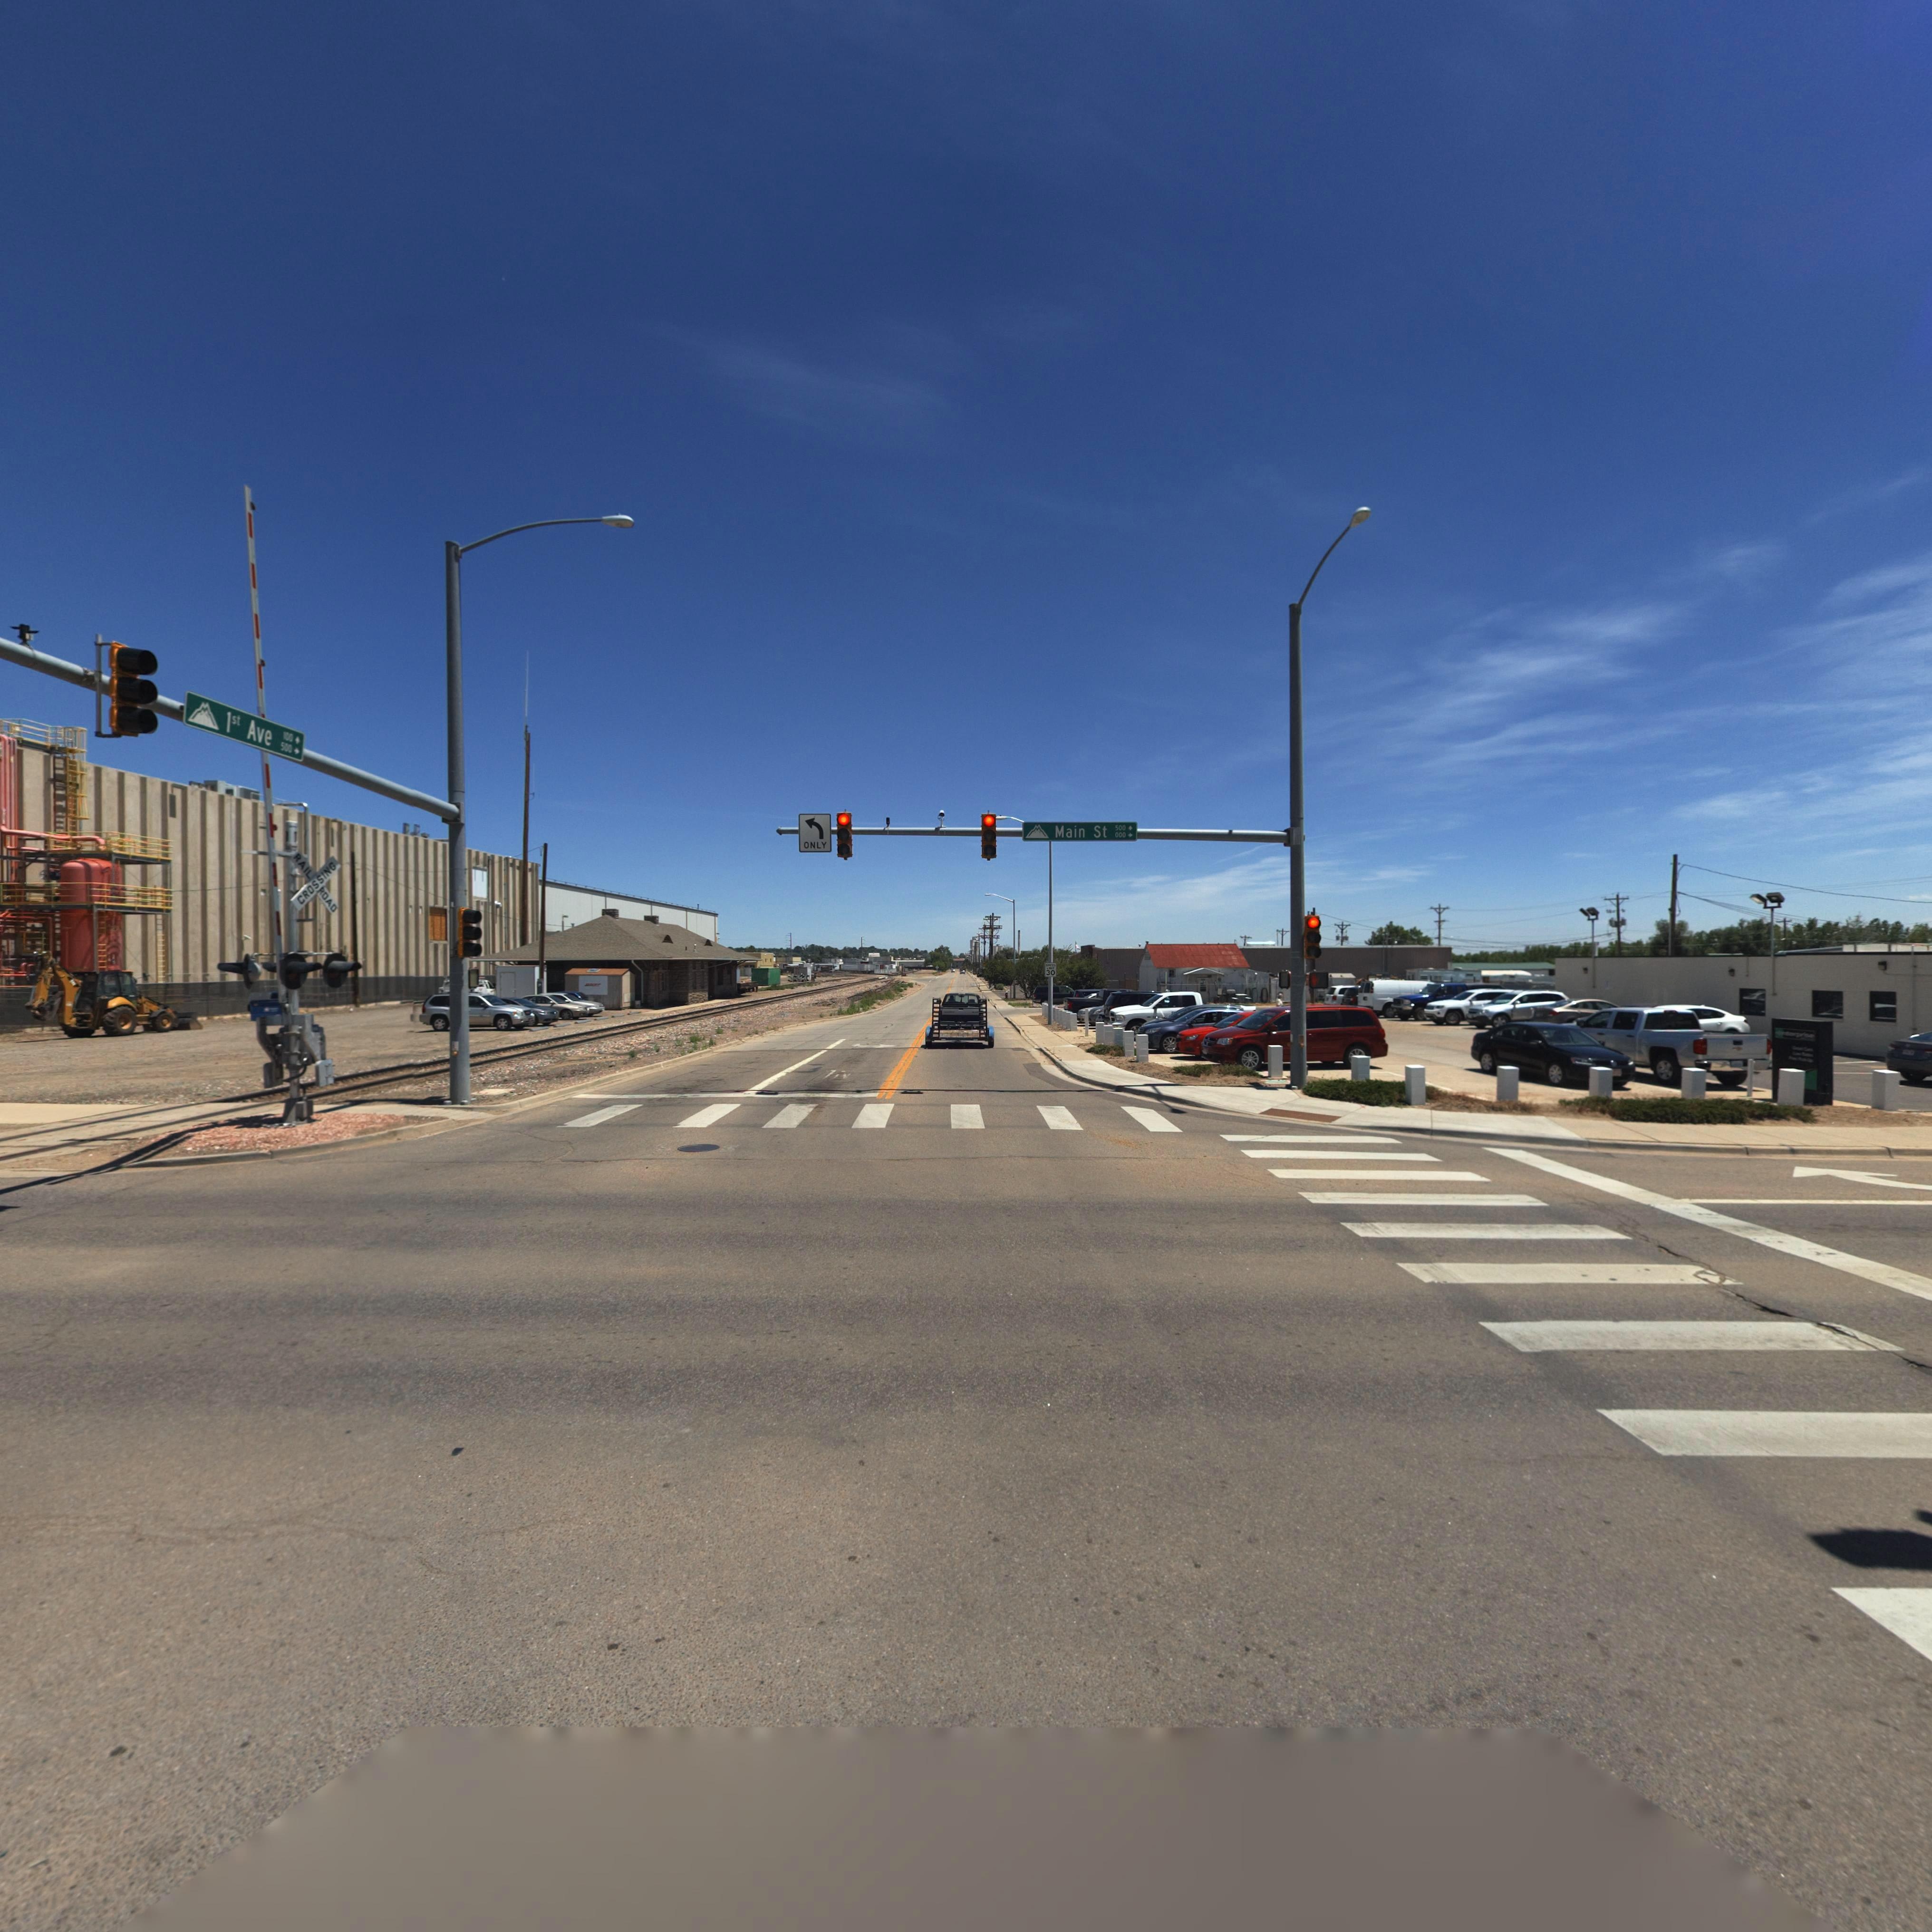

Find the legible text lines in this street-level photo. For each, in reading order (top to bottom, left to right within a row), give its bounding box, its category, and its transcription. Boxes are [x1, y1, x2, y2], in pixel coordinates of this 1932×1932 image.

[223, 709, 275, 747] StreetName: 1st Ave
[279, 741, 300, 756] StreetNumberRange: 500->
[1054, 825, 1107, 838] StreetName: Main St
[1115, 824, 1126, 831] StreetNumberRange: 500
[1115, 832, 1133, 838] StreetNumberRange: 000->
[1774, 1030, 1815, 1038] BusinessName: **prise